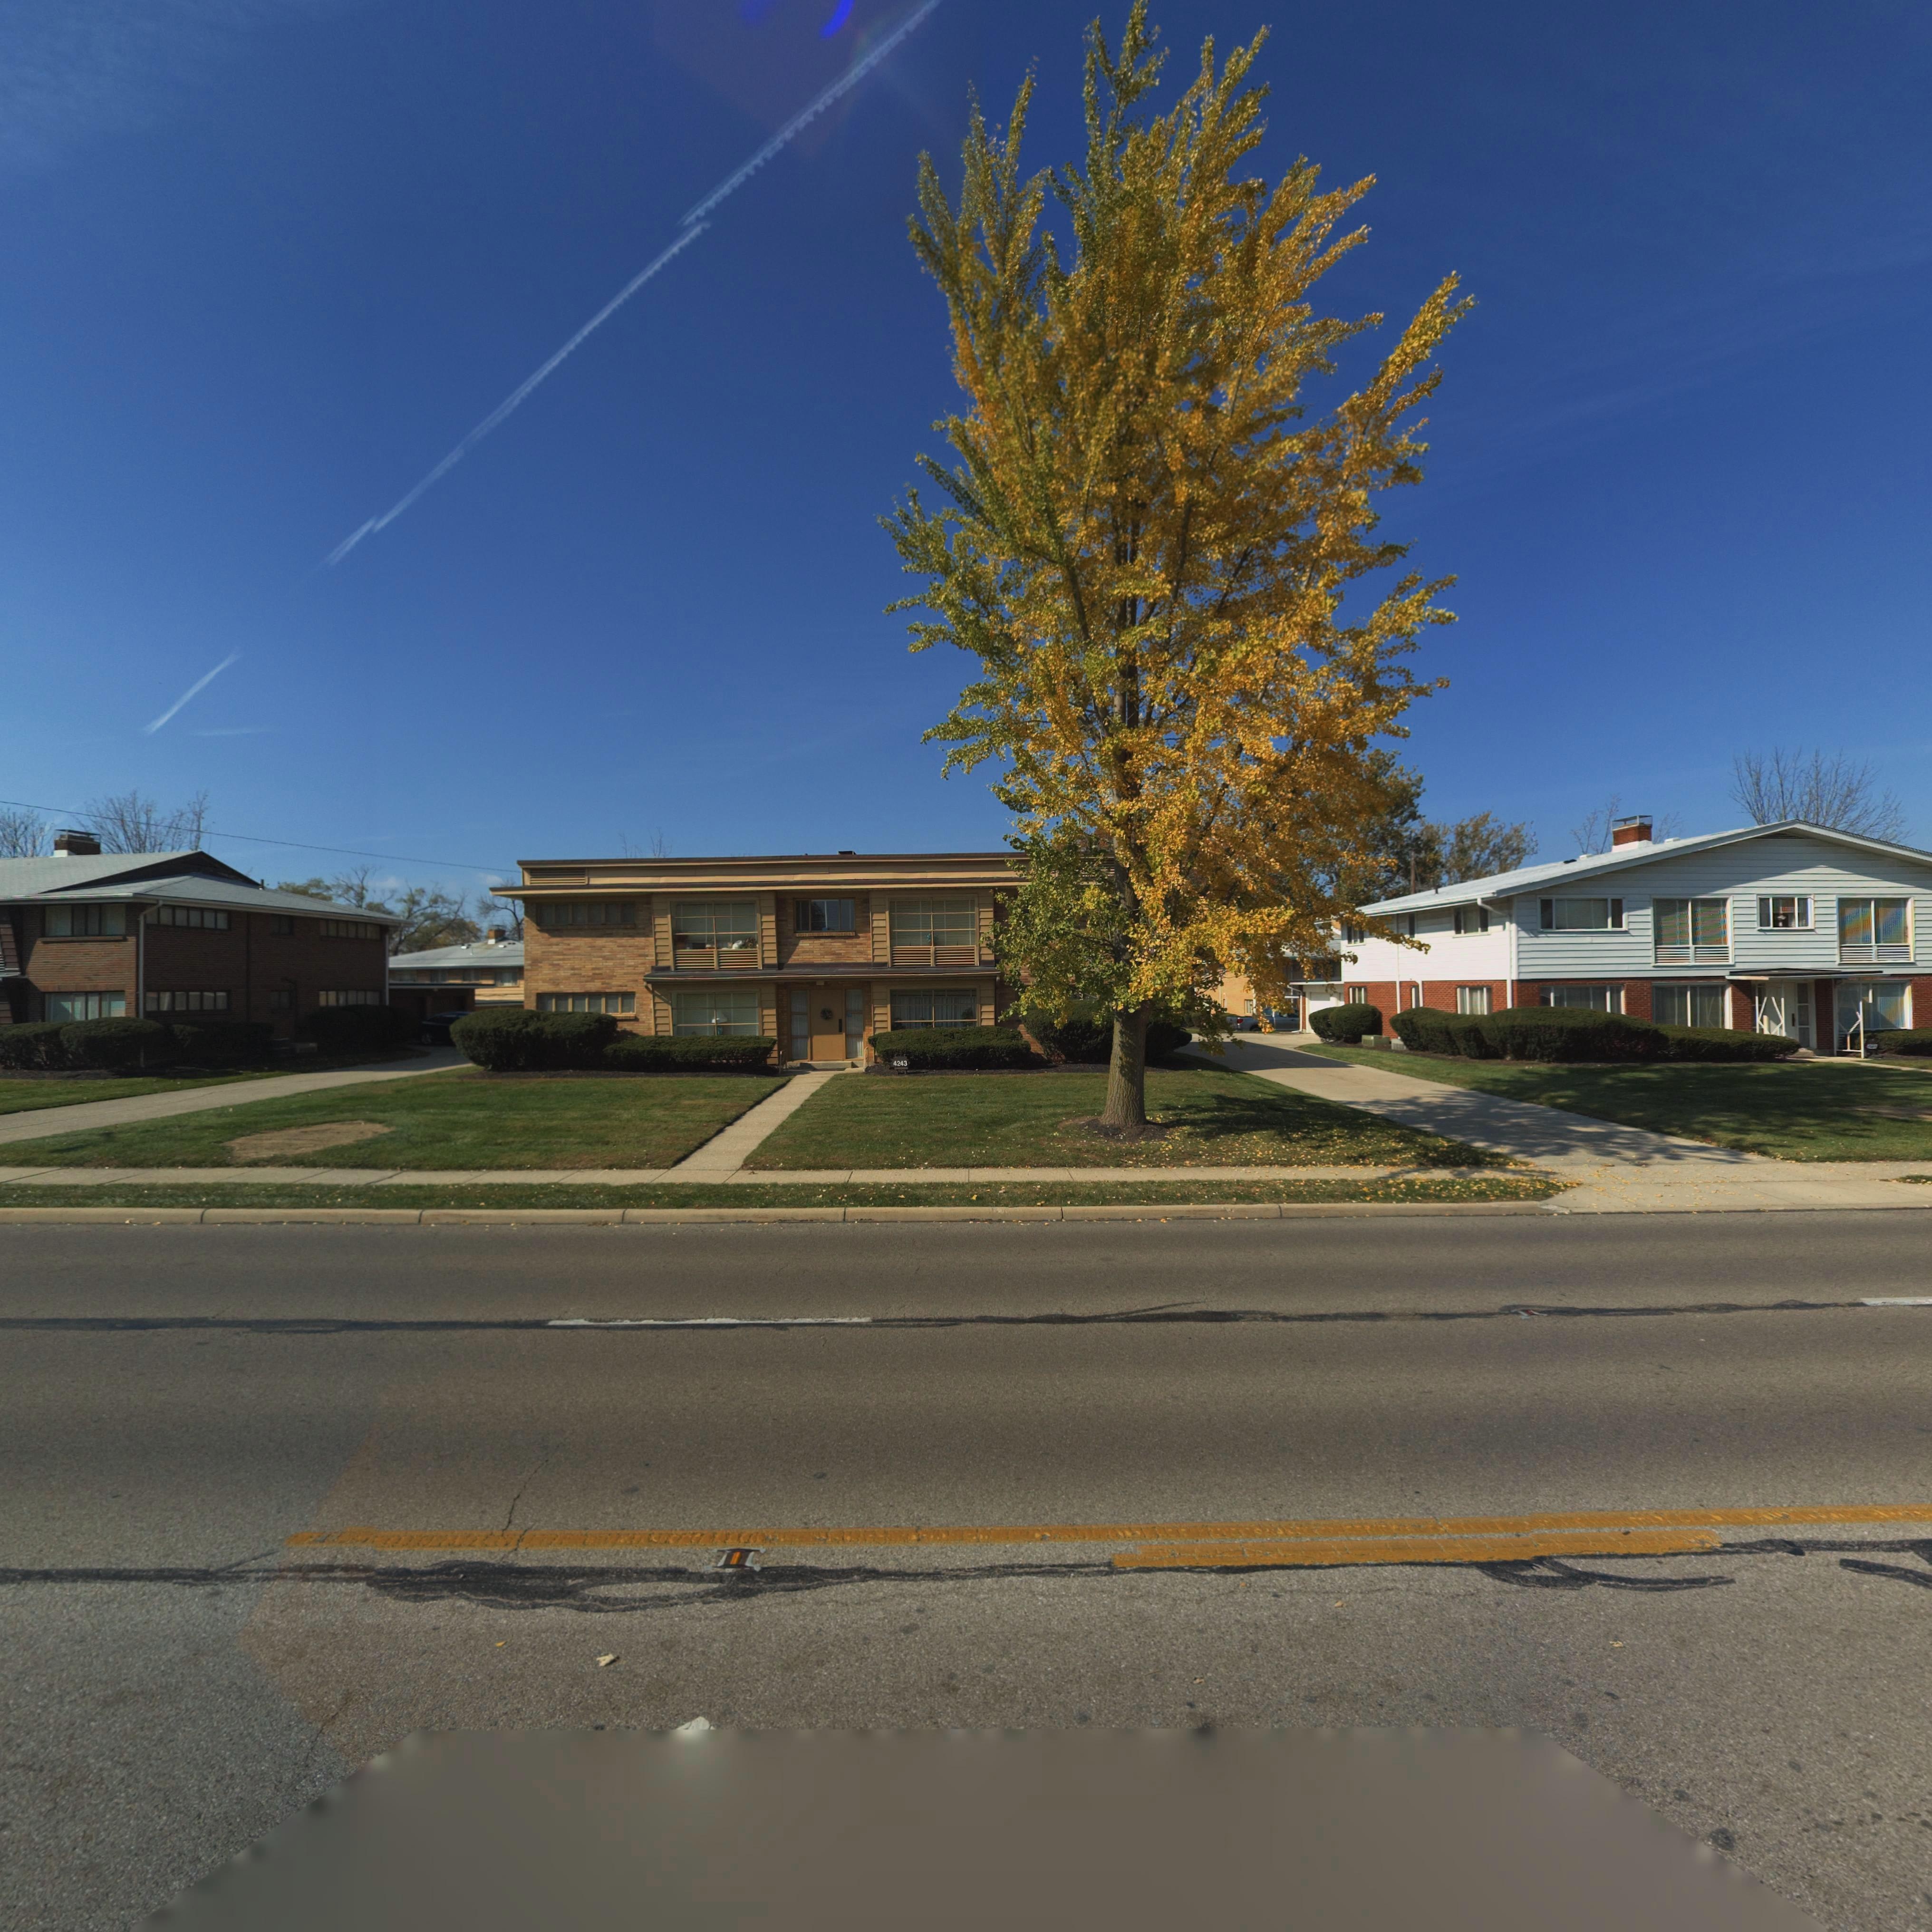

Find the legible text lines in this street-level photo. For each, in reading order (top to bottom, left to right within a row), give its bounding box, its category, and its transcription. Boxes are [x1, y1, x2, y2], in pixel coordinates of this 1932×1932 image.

[892, 1059, 909, 1068] StreetNumber: 4243